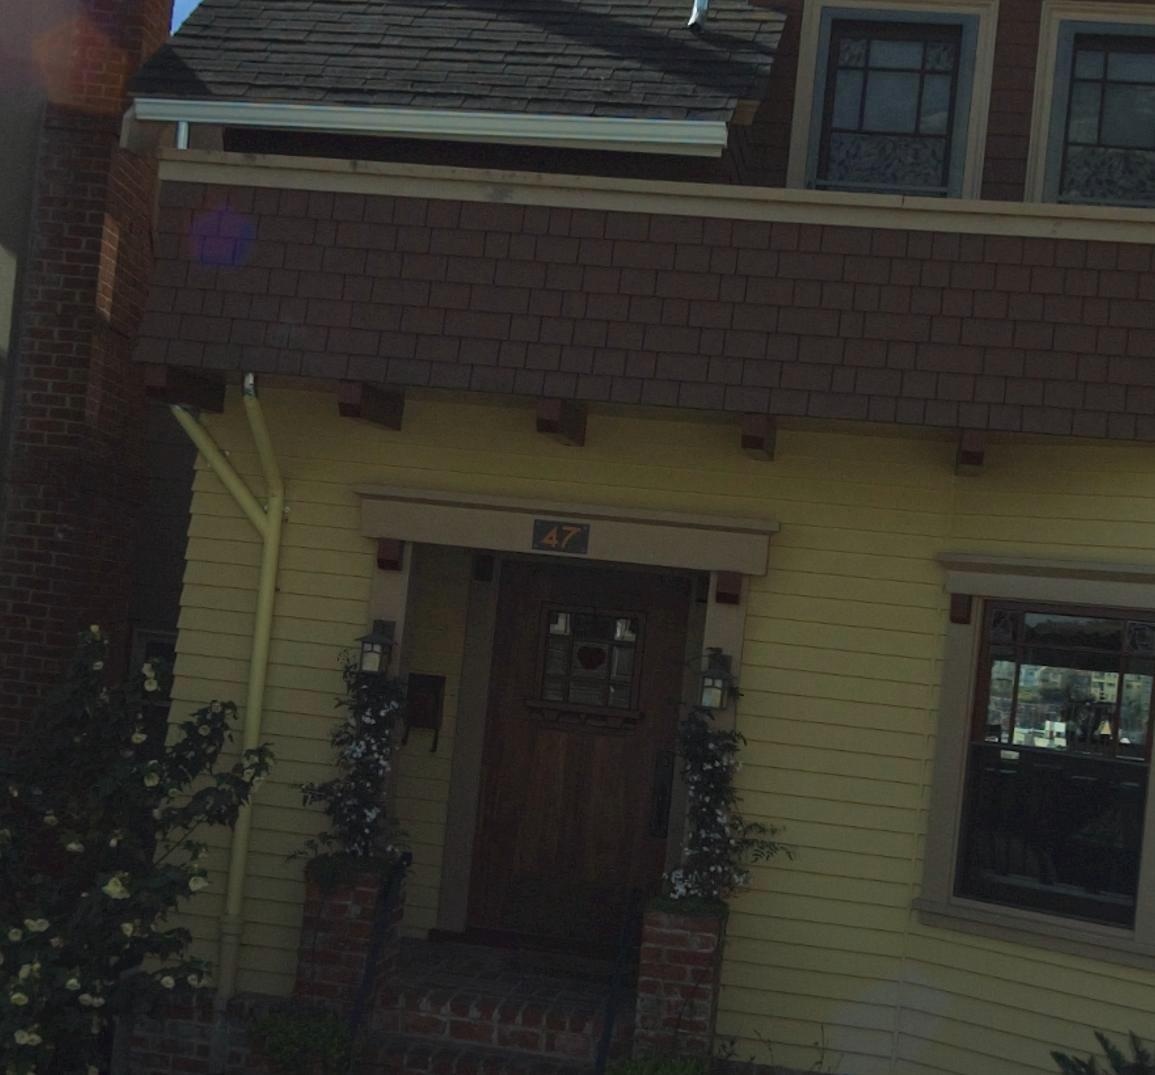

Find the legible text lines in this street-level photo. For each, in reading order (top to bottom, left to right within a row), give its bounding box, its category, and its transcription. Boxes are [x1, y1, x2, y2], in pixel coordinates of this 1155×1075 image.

[538, 522, 584, 551] StreetNumber: 47